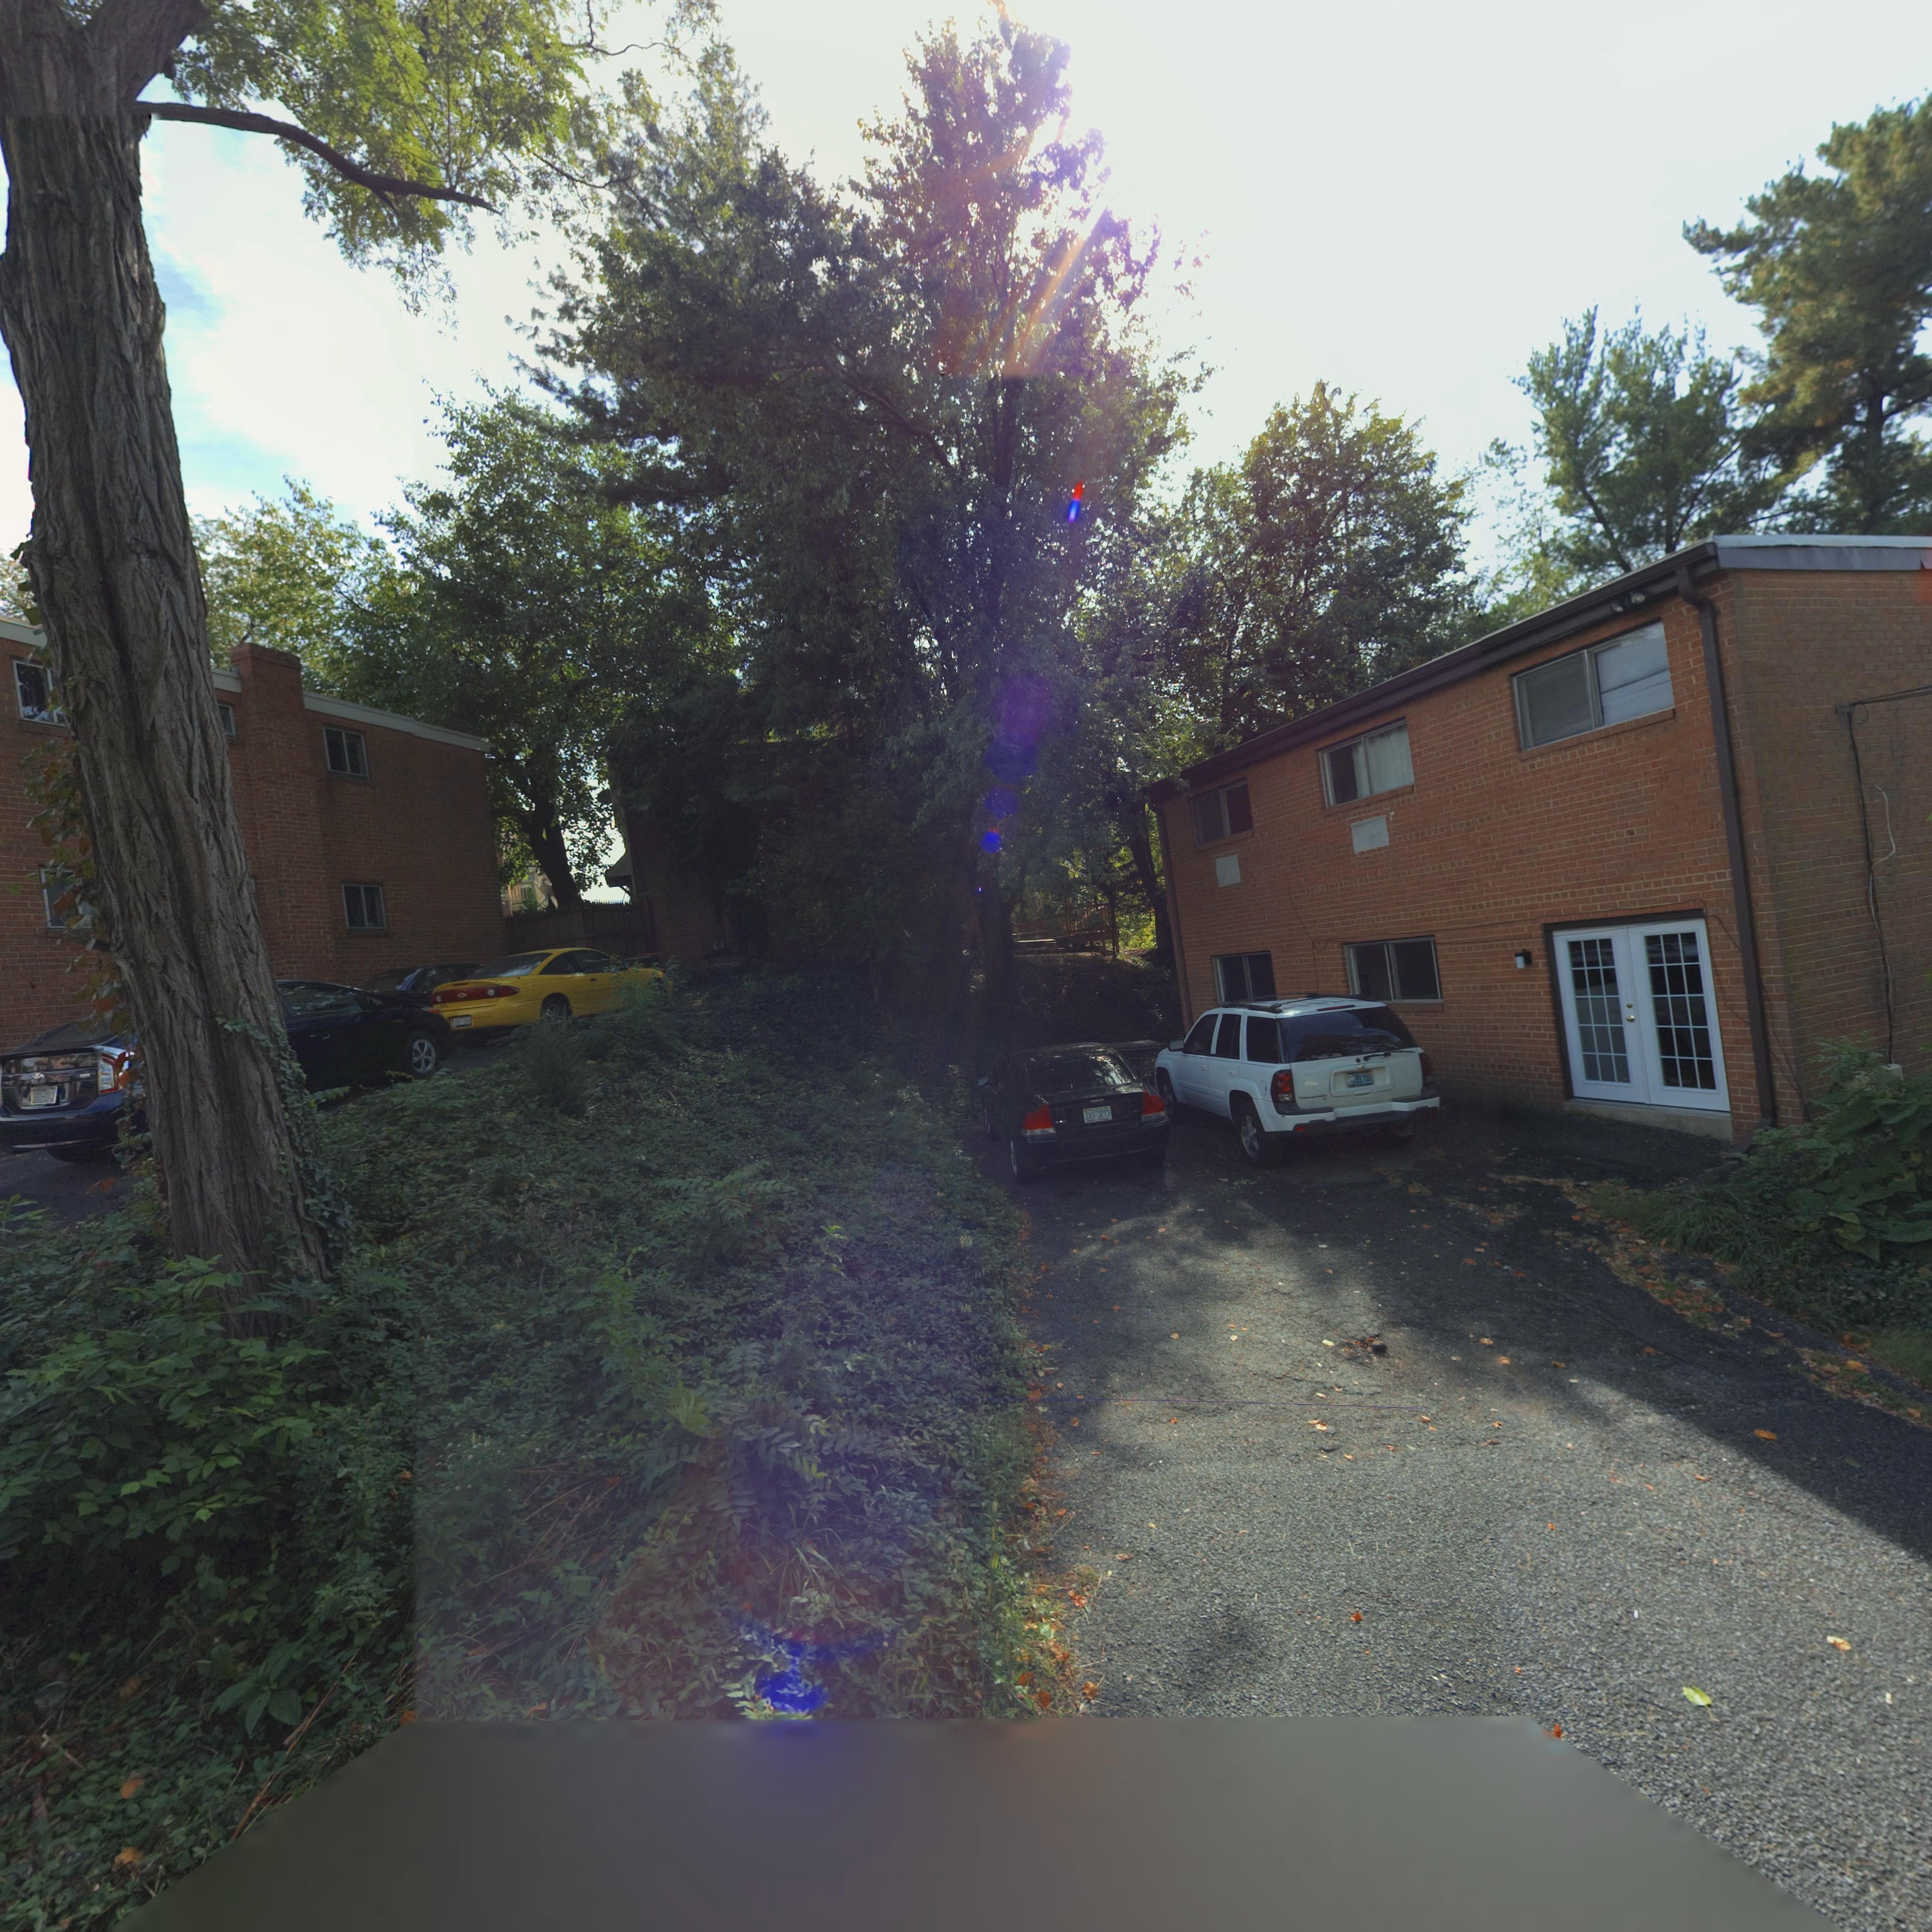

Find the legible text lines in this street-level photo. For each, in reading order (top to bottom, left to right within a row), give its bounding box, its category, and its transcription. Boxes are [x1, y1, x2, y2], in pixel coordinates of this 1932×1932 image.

[1354, 1073, 1373, 1084] None: 31708
[1084, 1108, 1111, 1121] None: 2X-3213